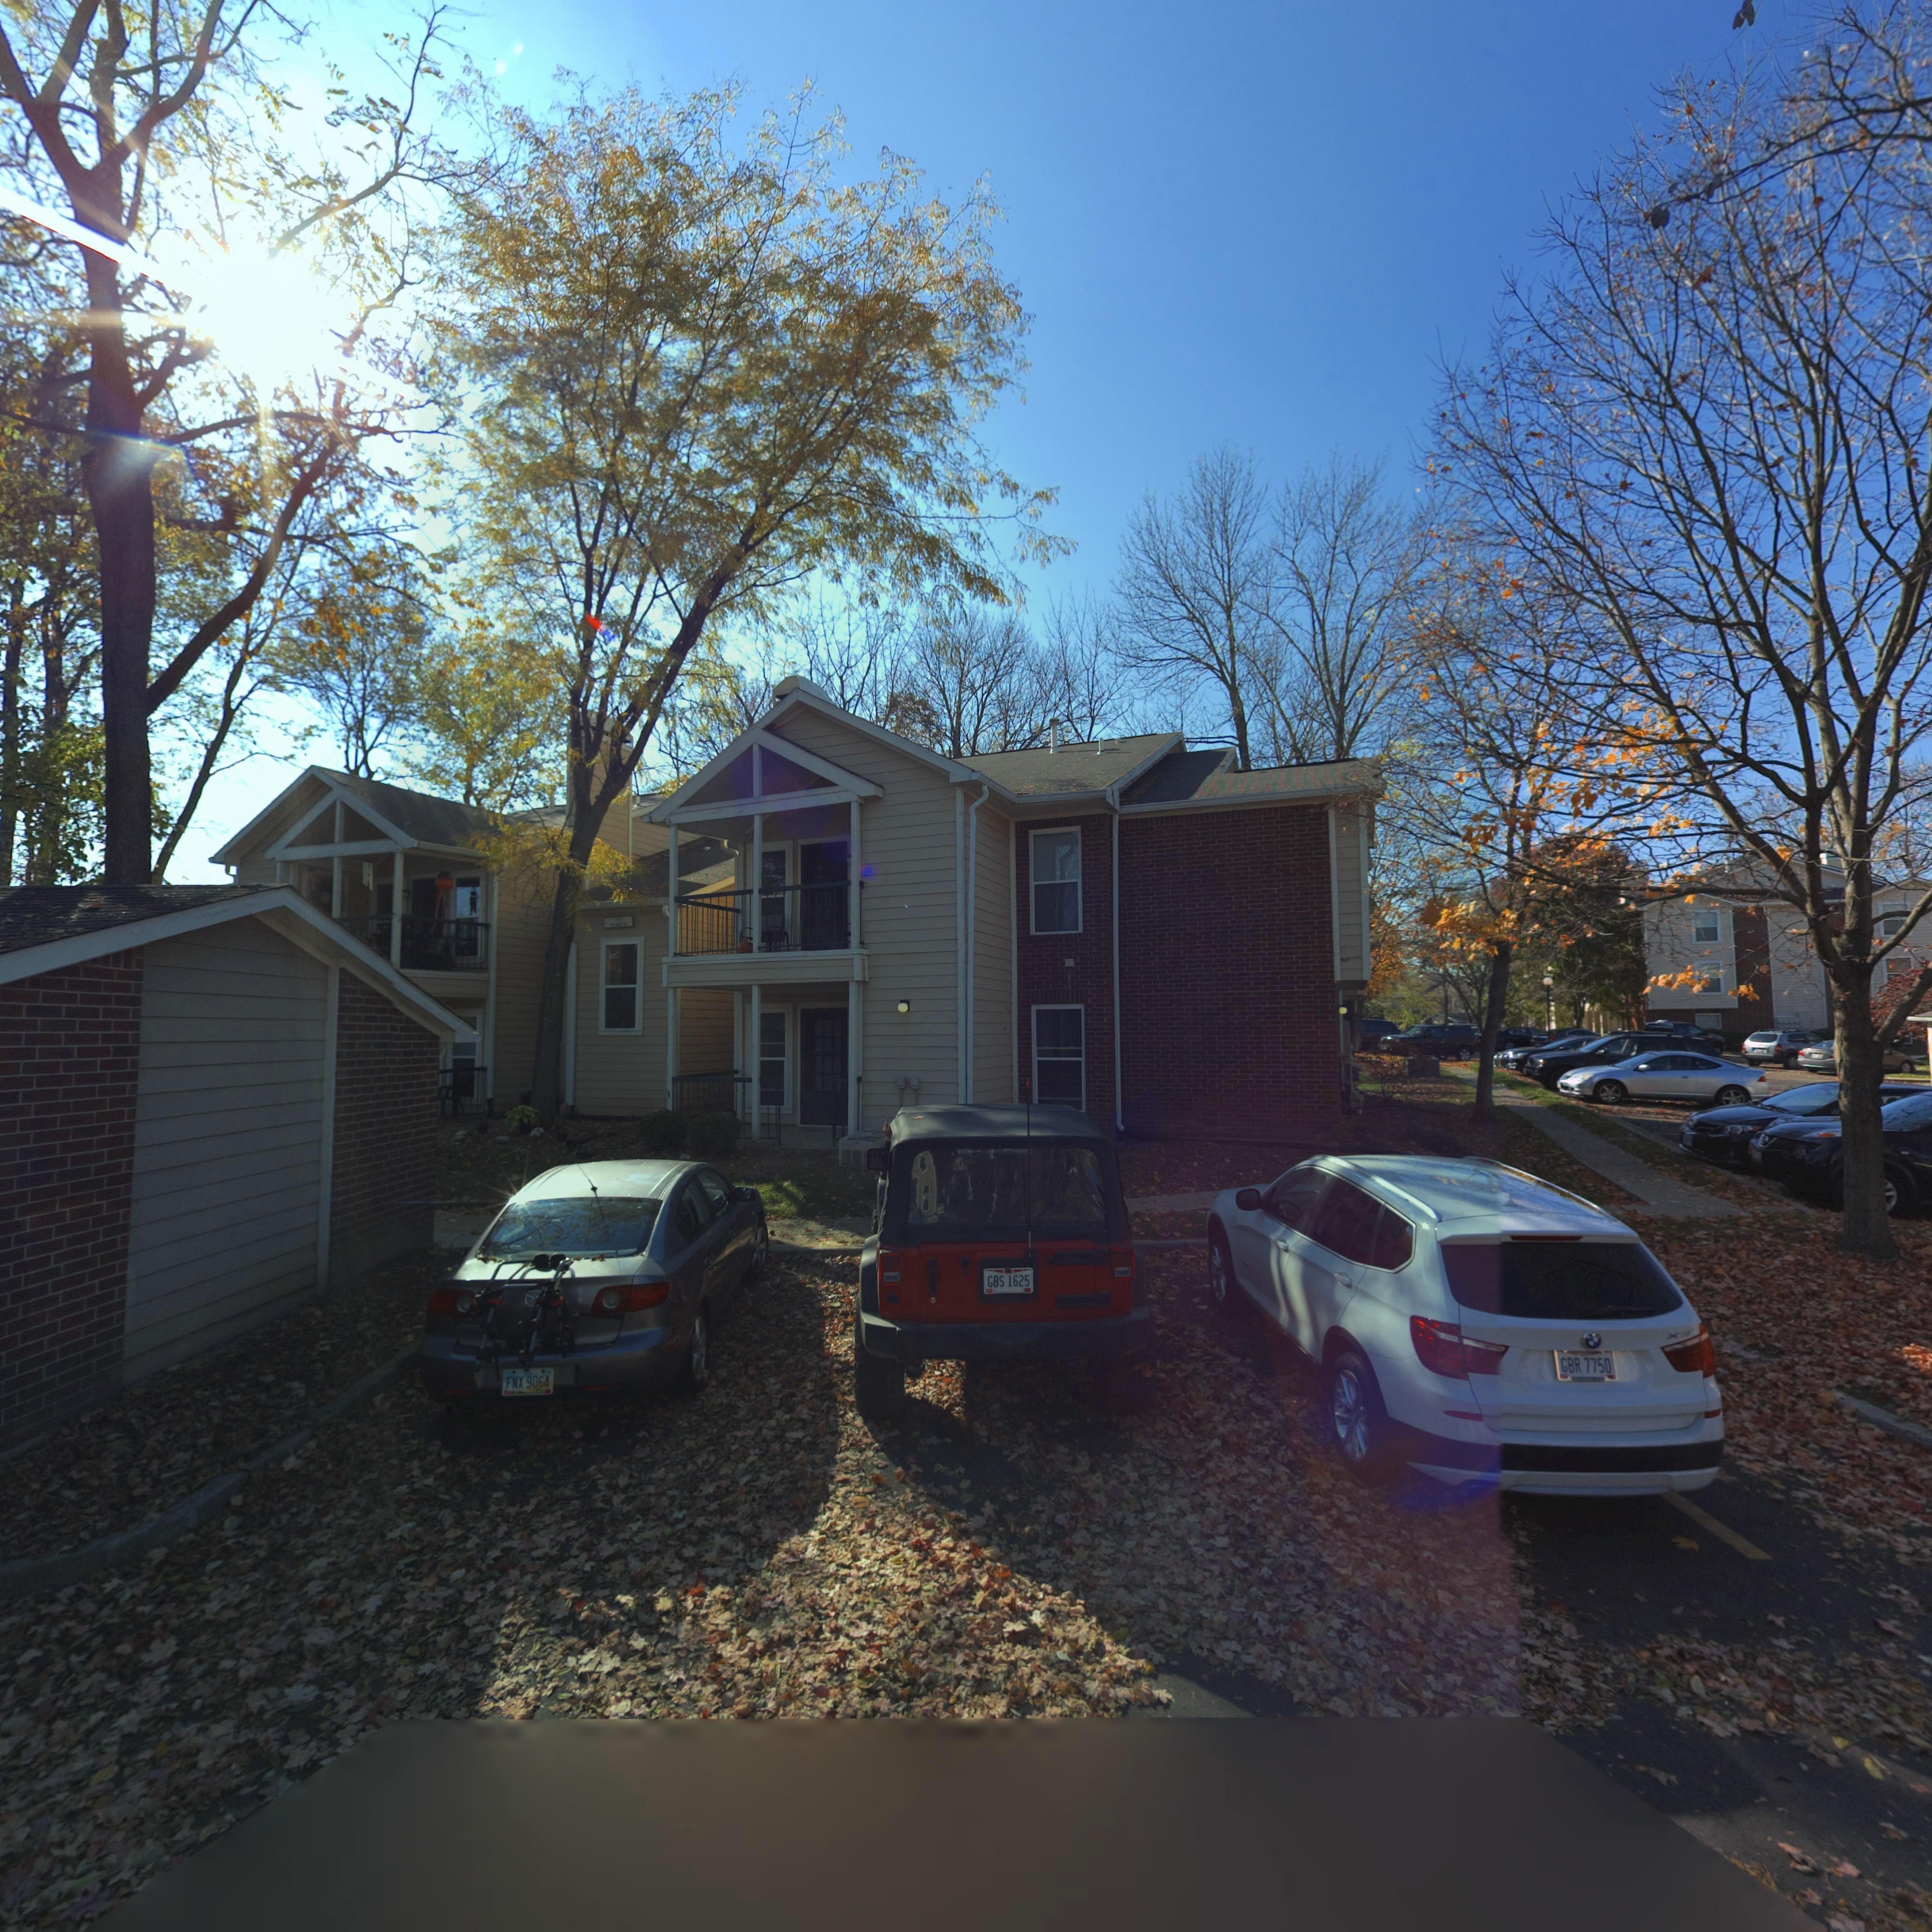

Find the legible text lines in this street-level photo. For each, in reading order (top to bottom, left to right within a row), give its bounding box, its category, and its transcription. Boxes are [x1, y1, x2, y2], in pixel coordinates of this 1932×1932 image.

[986, 1273, 1031, 1288] None: GBS
[1666, 1329, 1691, 1341] None: X*
[1559, 1356, 1613, 1375] None: GBR 7750
[505, 1374, 550, 1390] None: FNX 9064